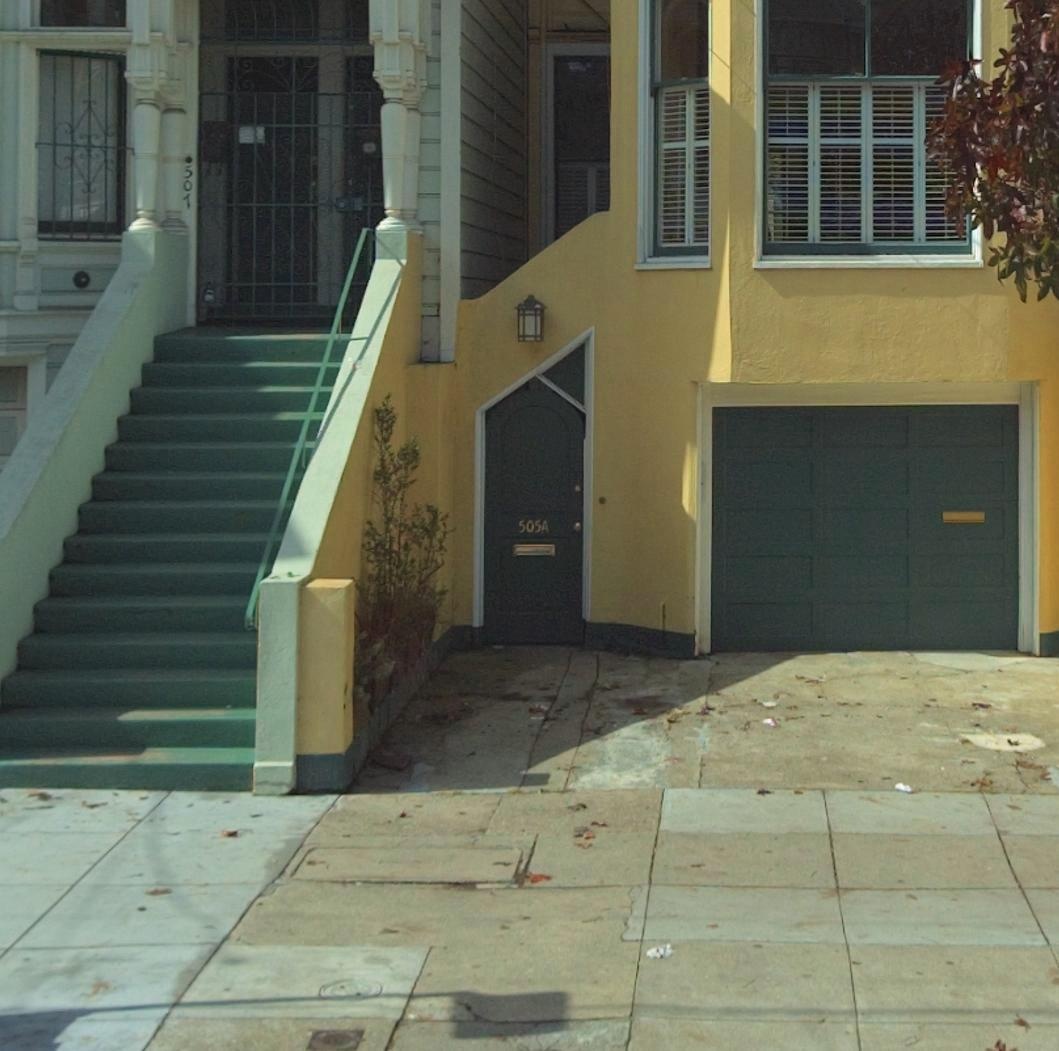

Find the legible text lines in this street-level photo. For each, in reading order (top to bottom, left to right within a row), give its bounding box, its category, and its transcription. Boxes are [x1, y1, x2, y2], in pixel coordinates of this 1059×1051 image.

[180, 162, 195, 211] StreetNumber: 507
[517, 518, 551, 536] StreetNumber: 505A